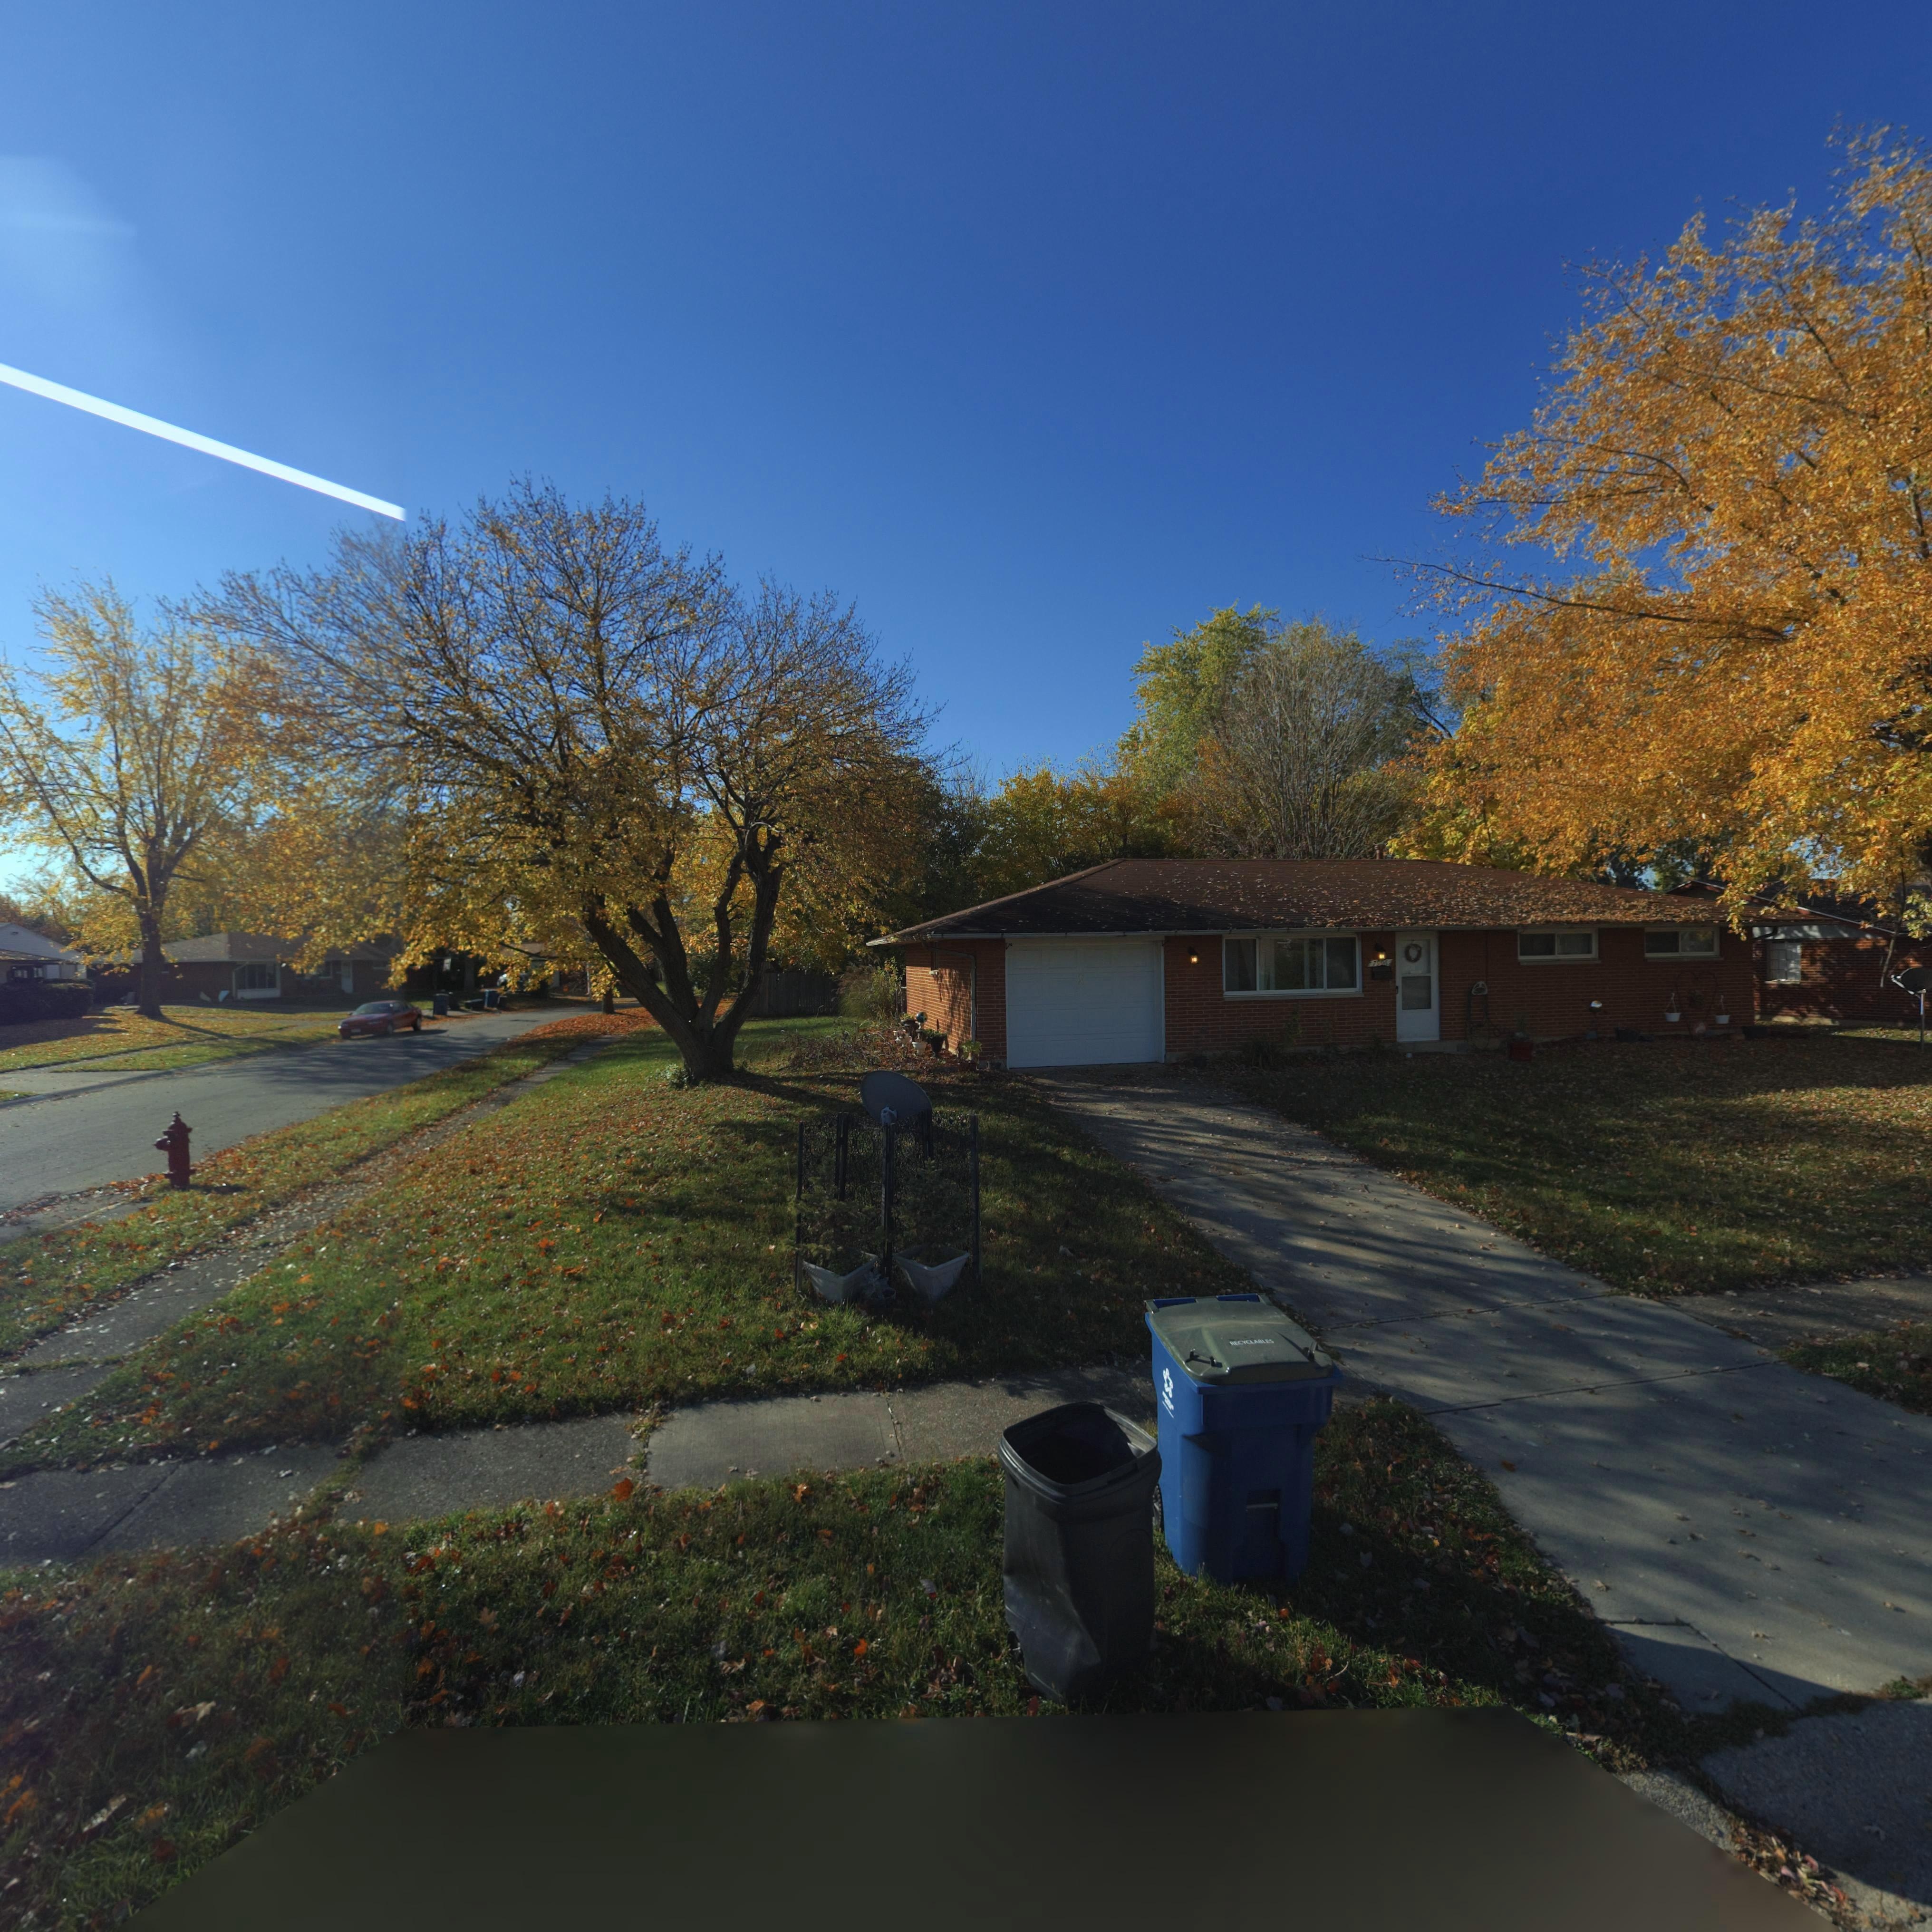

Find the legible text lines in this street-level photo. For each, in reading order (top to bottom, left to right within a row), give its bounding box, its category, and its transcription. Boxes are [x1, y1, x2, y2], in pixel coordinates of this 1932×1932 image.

[1372, 959, 1389, 967] StreetNumber: 7996